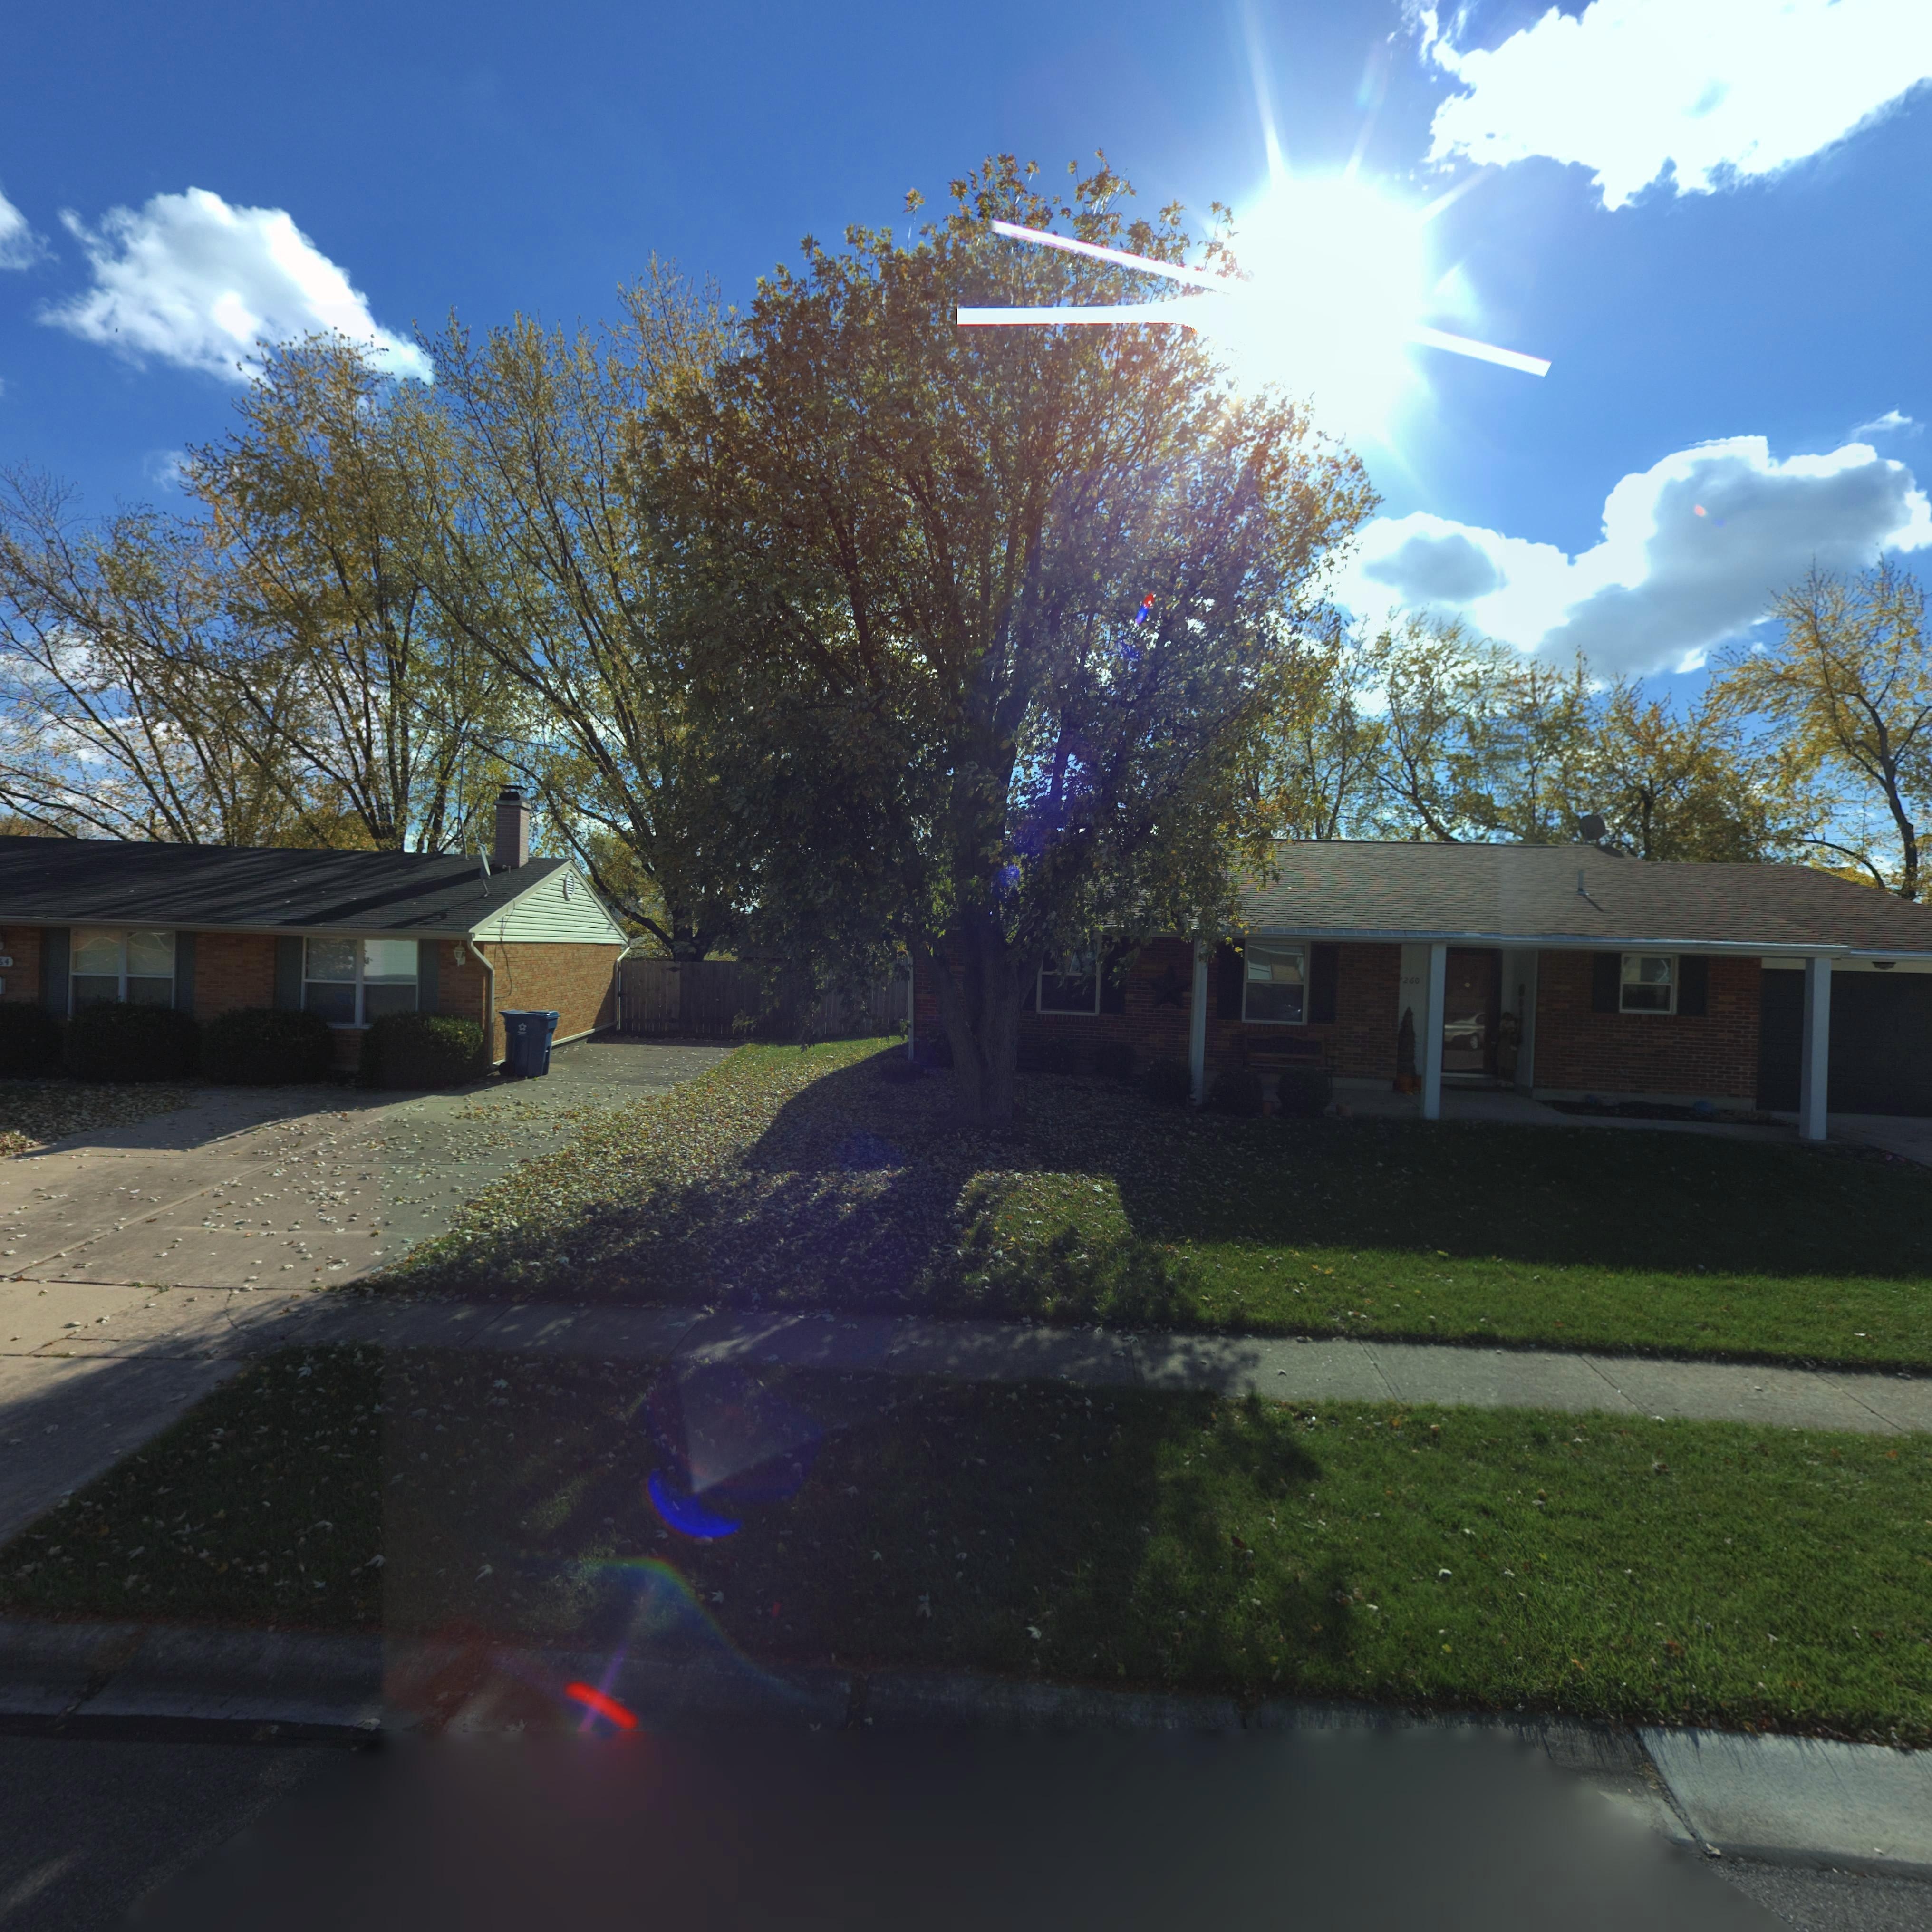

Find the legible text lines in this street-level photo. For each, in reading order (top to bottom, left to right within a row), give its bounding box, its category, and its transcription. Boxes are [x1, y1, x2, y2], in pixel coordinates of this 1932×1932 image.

[3, 956, 10, 966] StreetNumber: 4
[1402, 976, 1421, 985] StreetNumber: 260